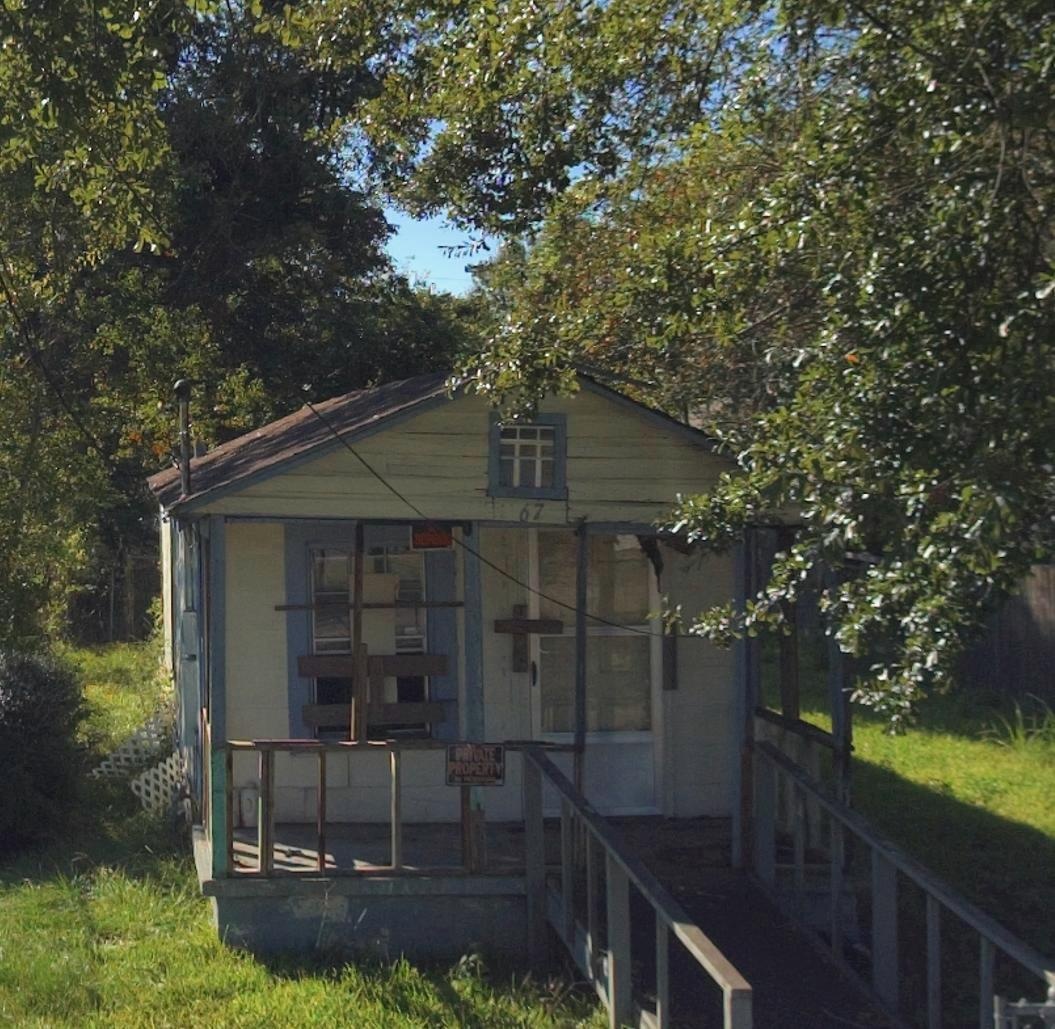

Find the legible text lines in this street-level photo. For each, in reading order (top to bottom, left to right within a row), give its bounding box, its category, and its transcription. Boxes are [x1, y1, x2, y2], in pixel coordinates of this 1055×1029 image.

[517, 501, 546, 523] StreetNumber: 67
[453, 747, 496, 762] None: PRIVATE
[447, 761, 502, 776] None: PROPERTY